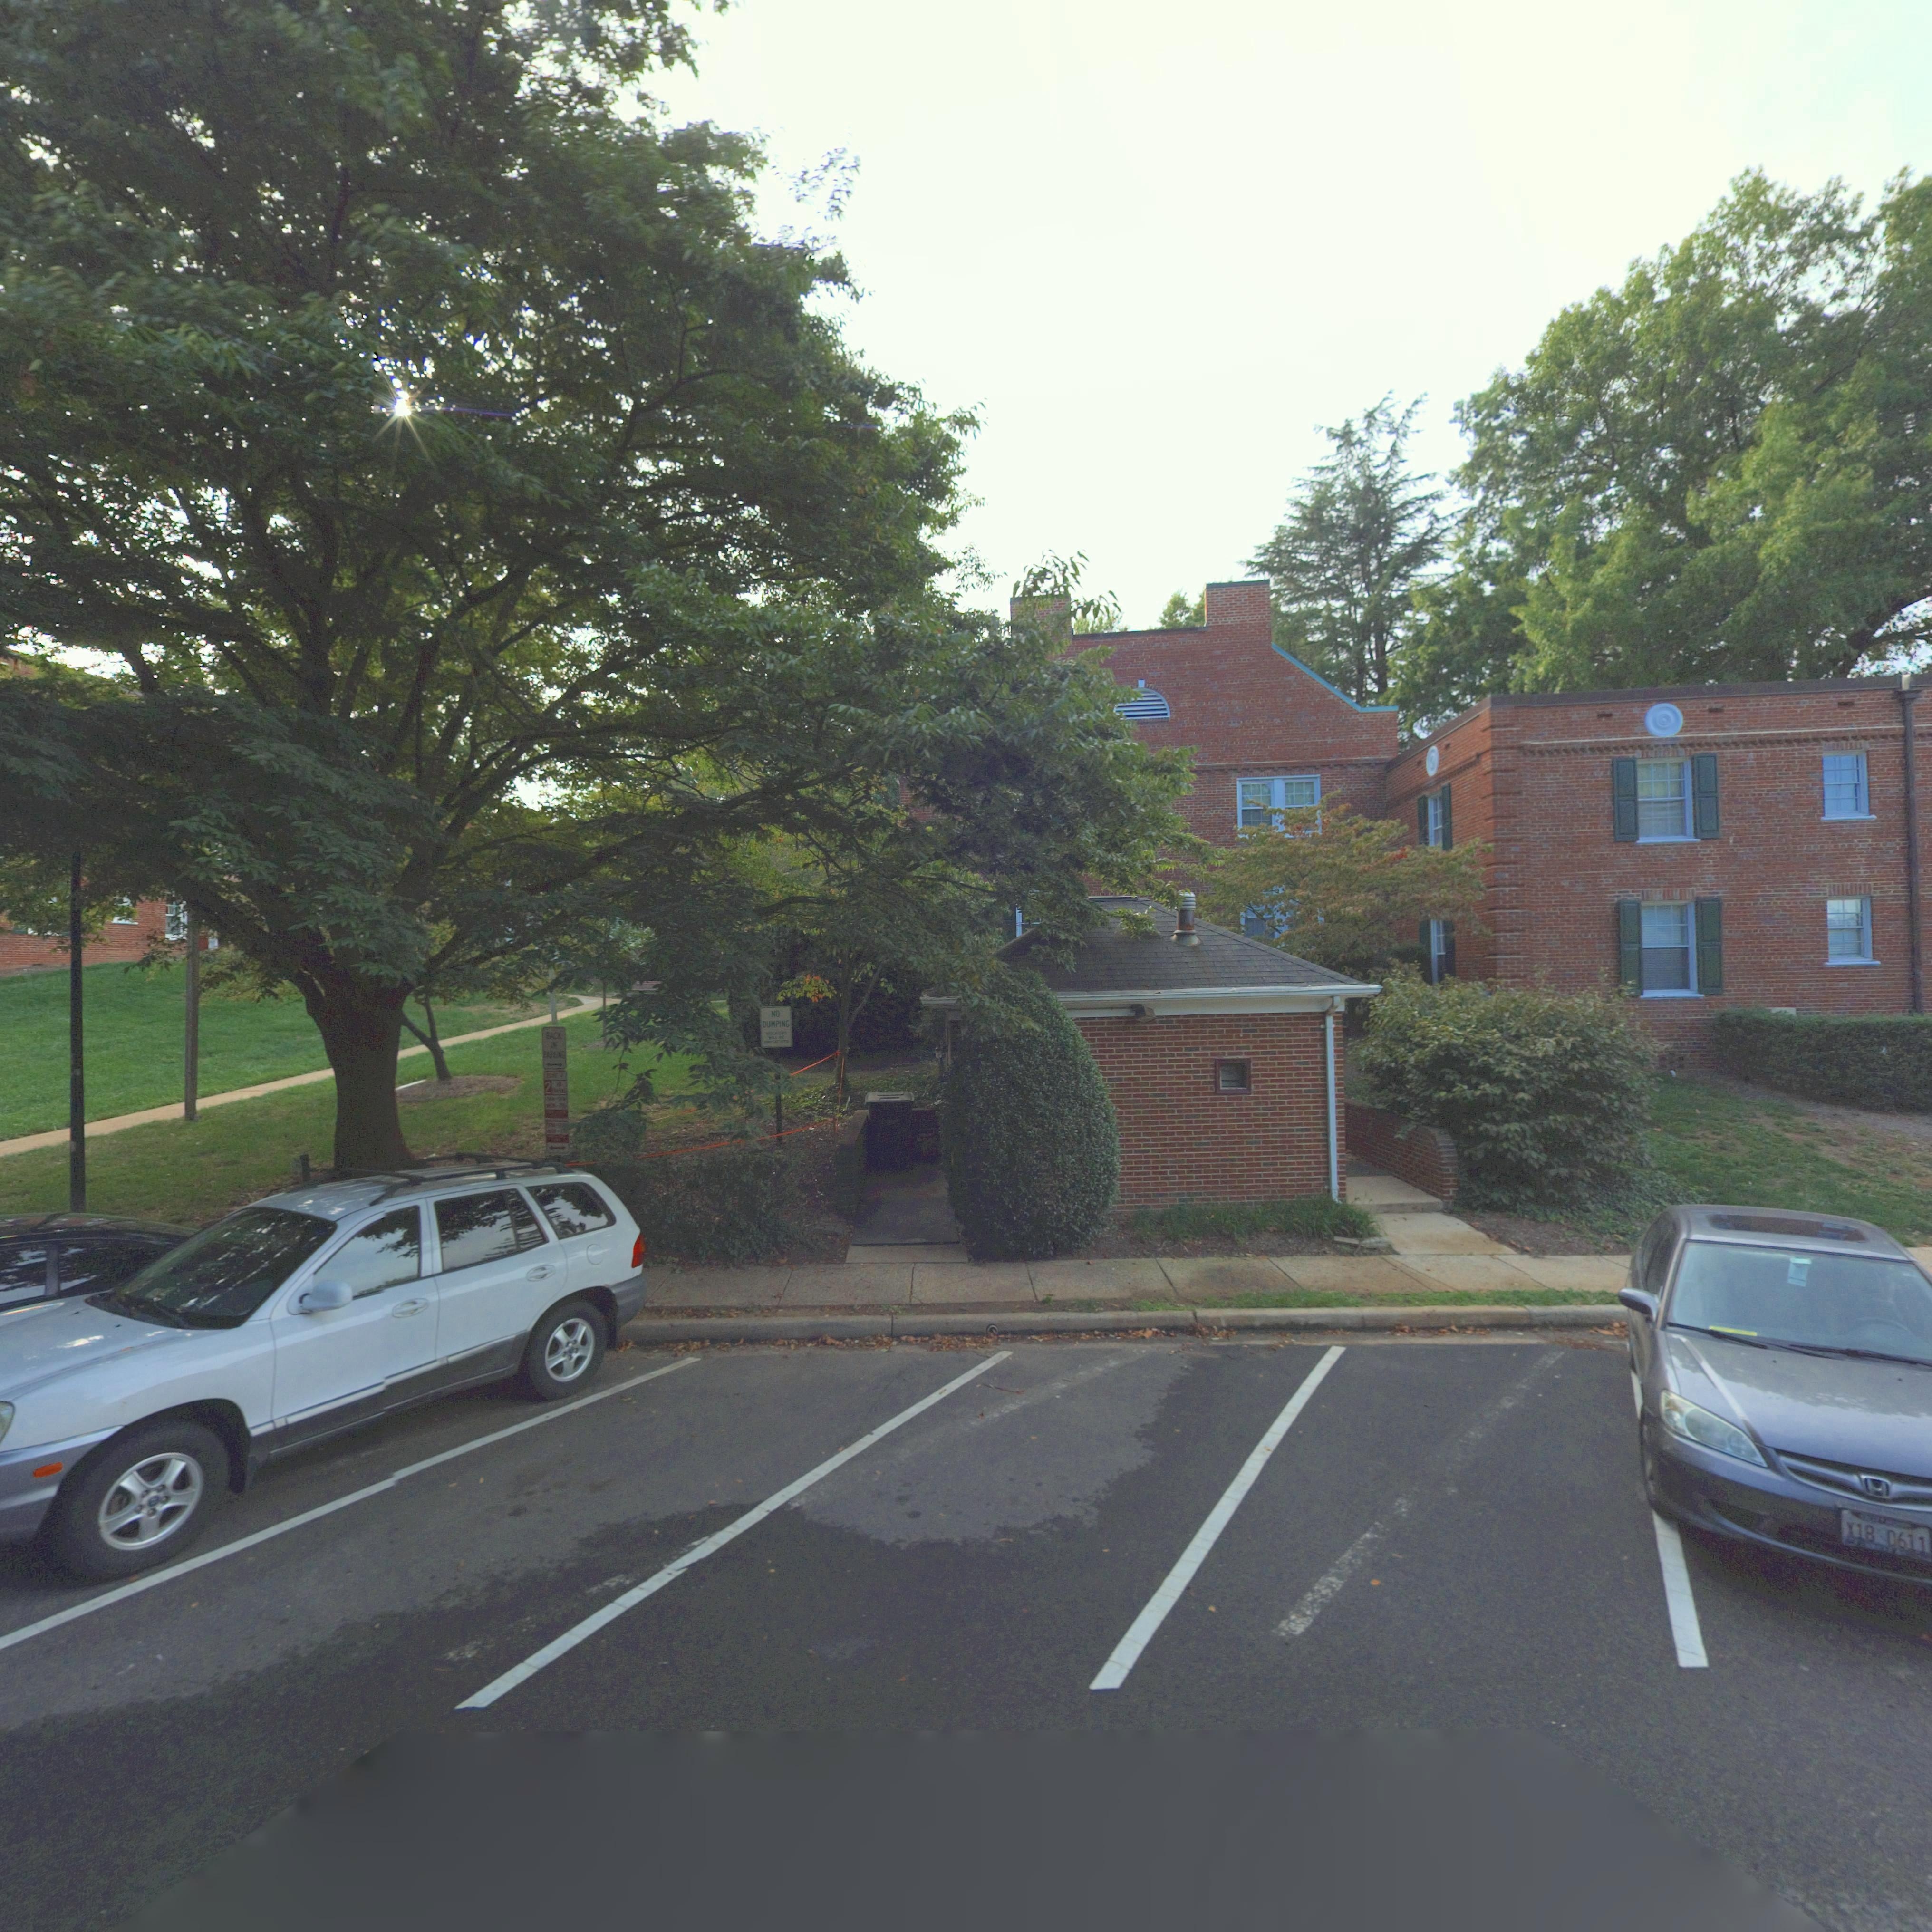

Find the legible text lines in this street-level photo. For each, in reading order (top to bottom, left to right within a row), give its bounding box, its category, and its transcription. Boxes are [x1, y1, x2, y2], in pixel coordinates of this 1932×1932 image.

[770, 1009, 782, 1019] None: NO
[761, 1018, 791, 1029] None: DUMPING
[543, 1030, 560, 1042] None: BAC
[543, 1080, 552, 1095] None: 2
[1843, 1517, 1929, 1556] None: X18 D611